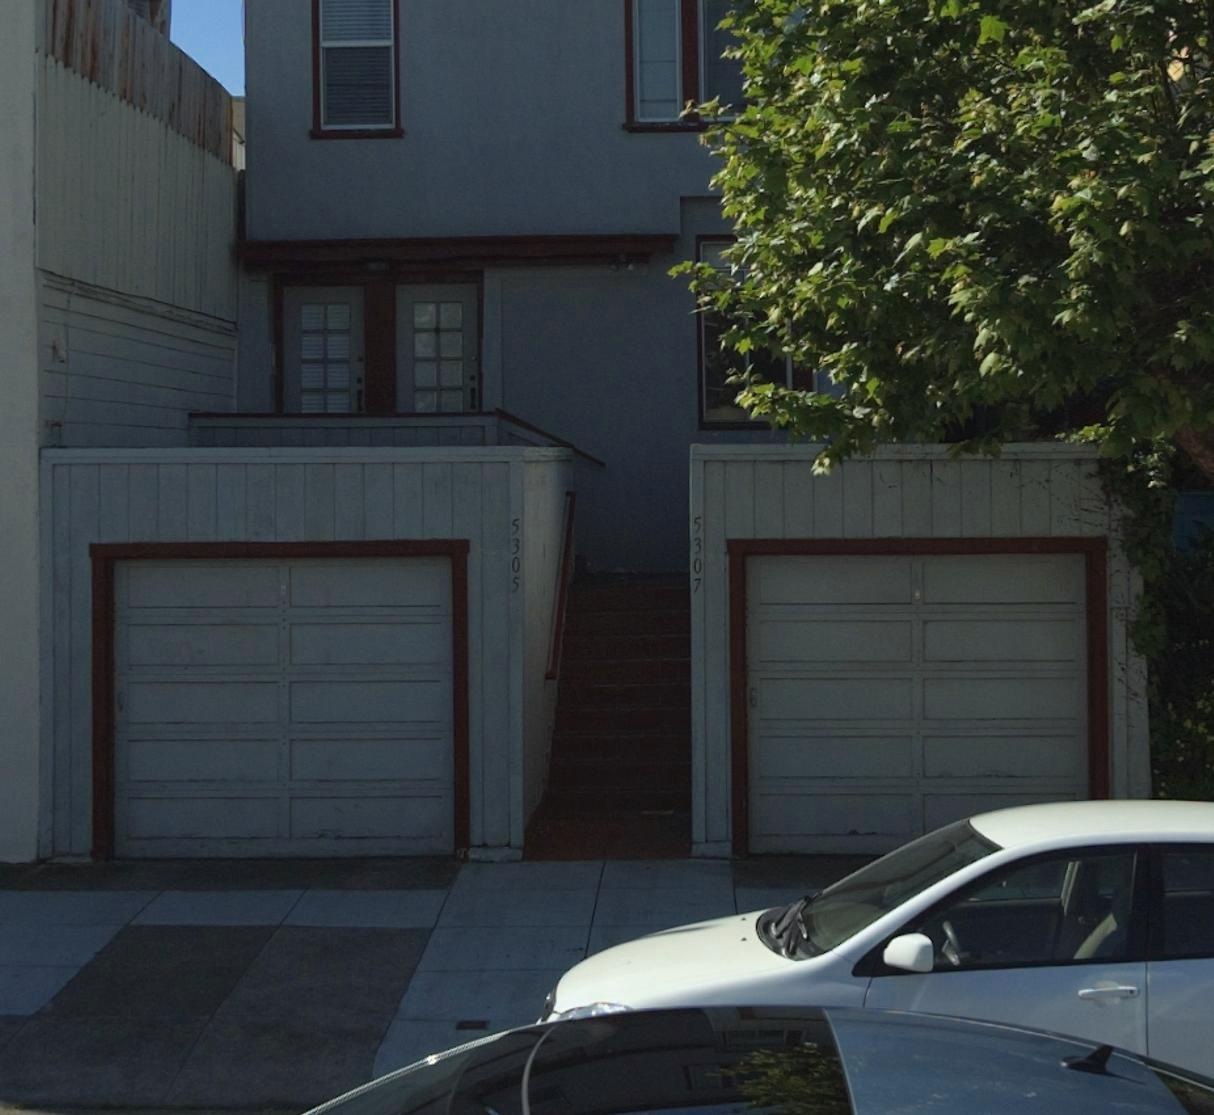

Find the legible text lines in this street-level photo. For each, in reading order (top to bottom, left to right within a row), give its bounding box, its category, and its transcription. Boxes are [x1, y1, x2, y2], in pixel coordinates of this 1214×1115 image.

[509, 516, 523, 595] StreetNumber: 5305
[692, 513, 705, 595] StreetNumber: 5307